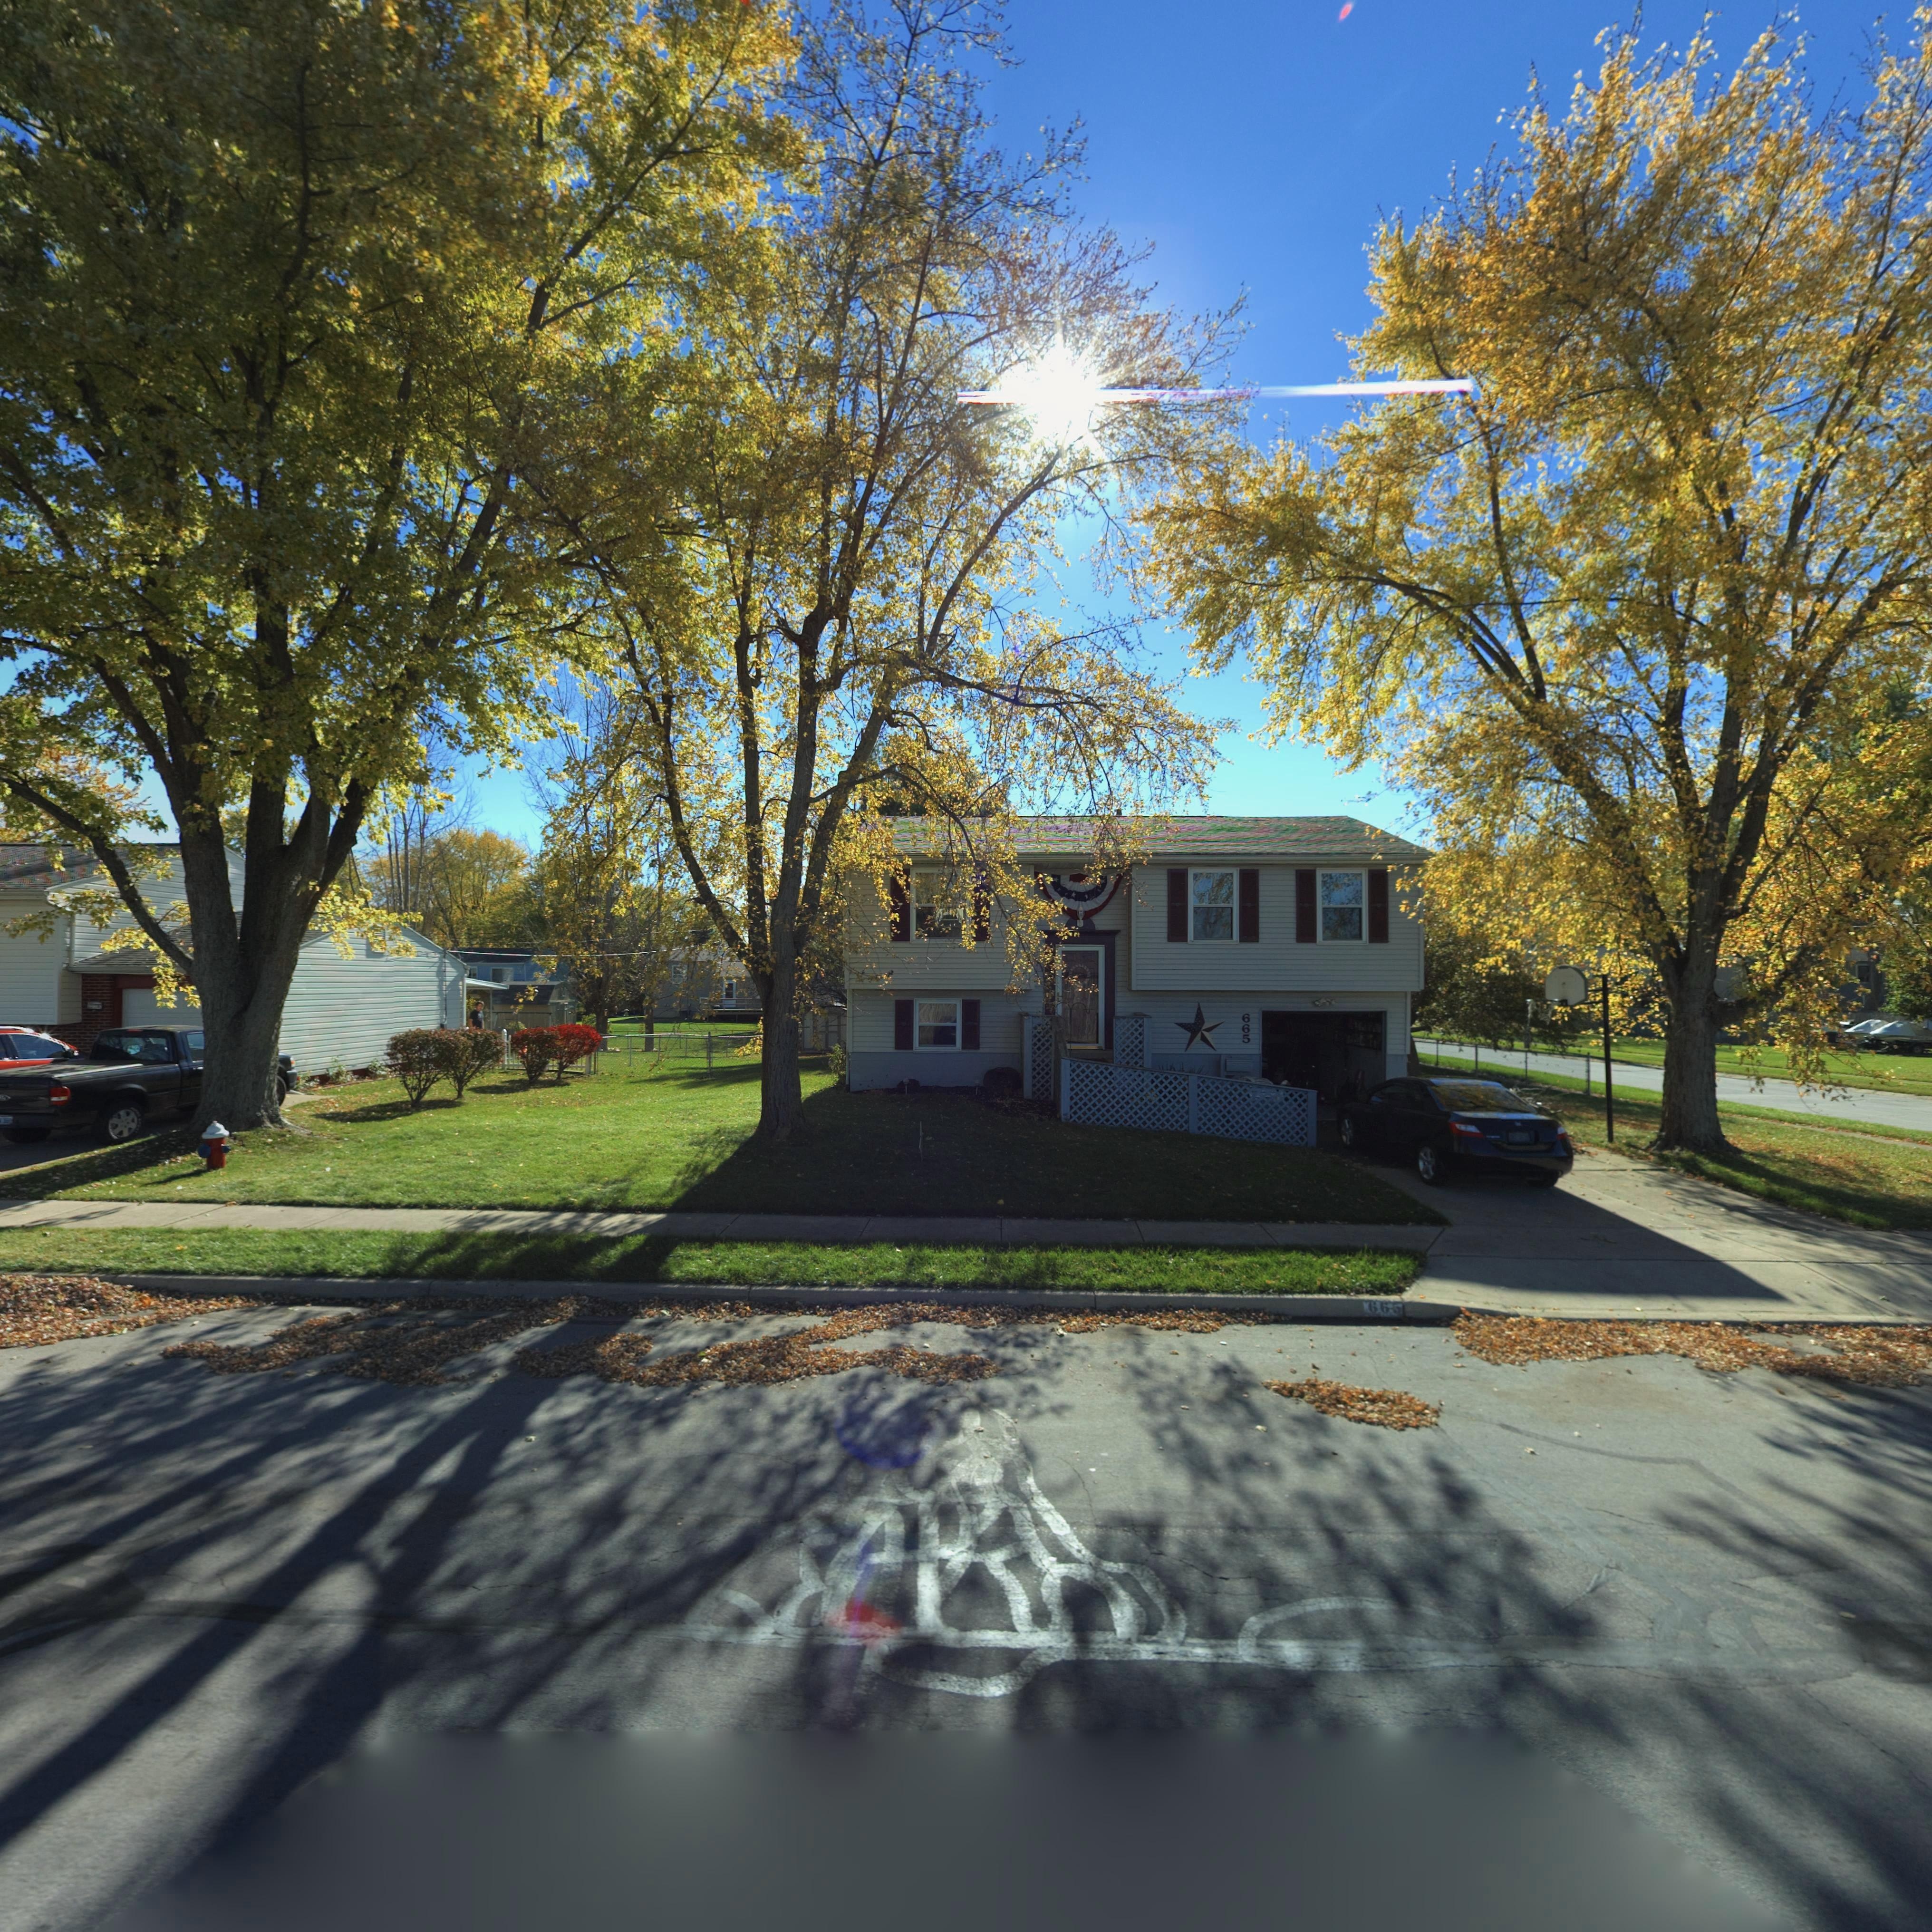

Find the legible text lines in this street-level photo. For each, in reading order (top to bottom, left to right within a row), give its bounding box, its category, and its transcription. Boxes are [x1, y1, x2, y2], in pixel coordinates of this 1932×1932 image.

[1241, 1013, 1251, 1043] StreetNumber: 665
[1367, 1300, 1402, 1315] StreetNumber: 665